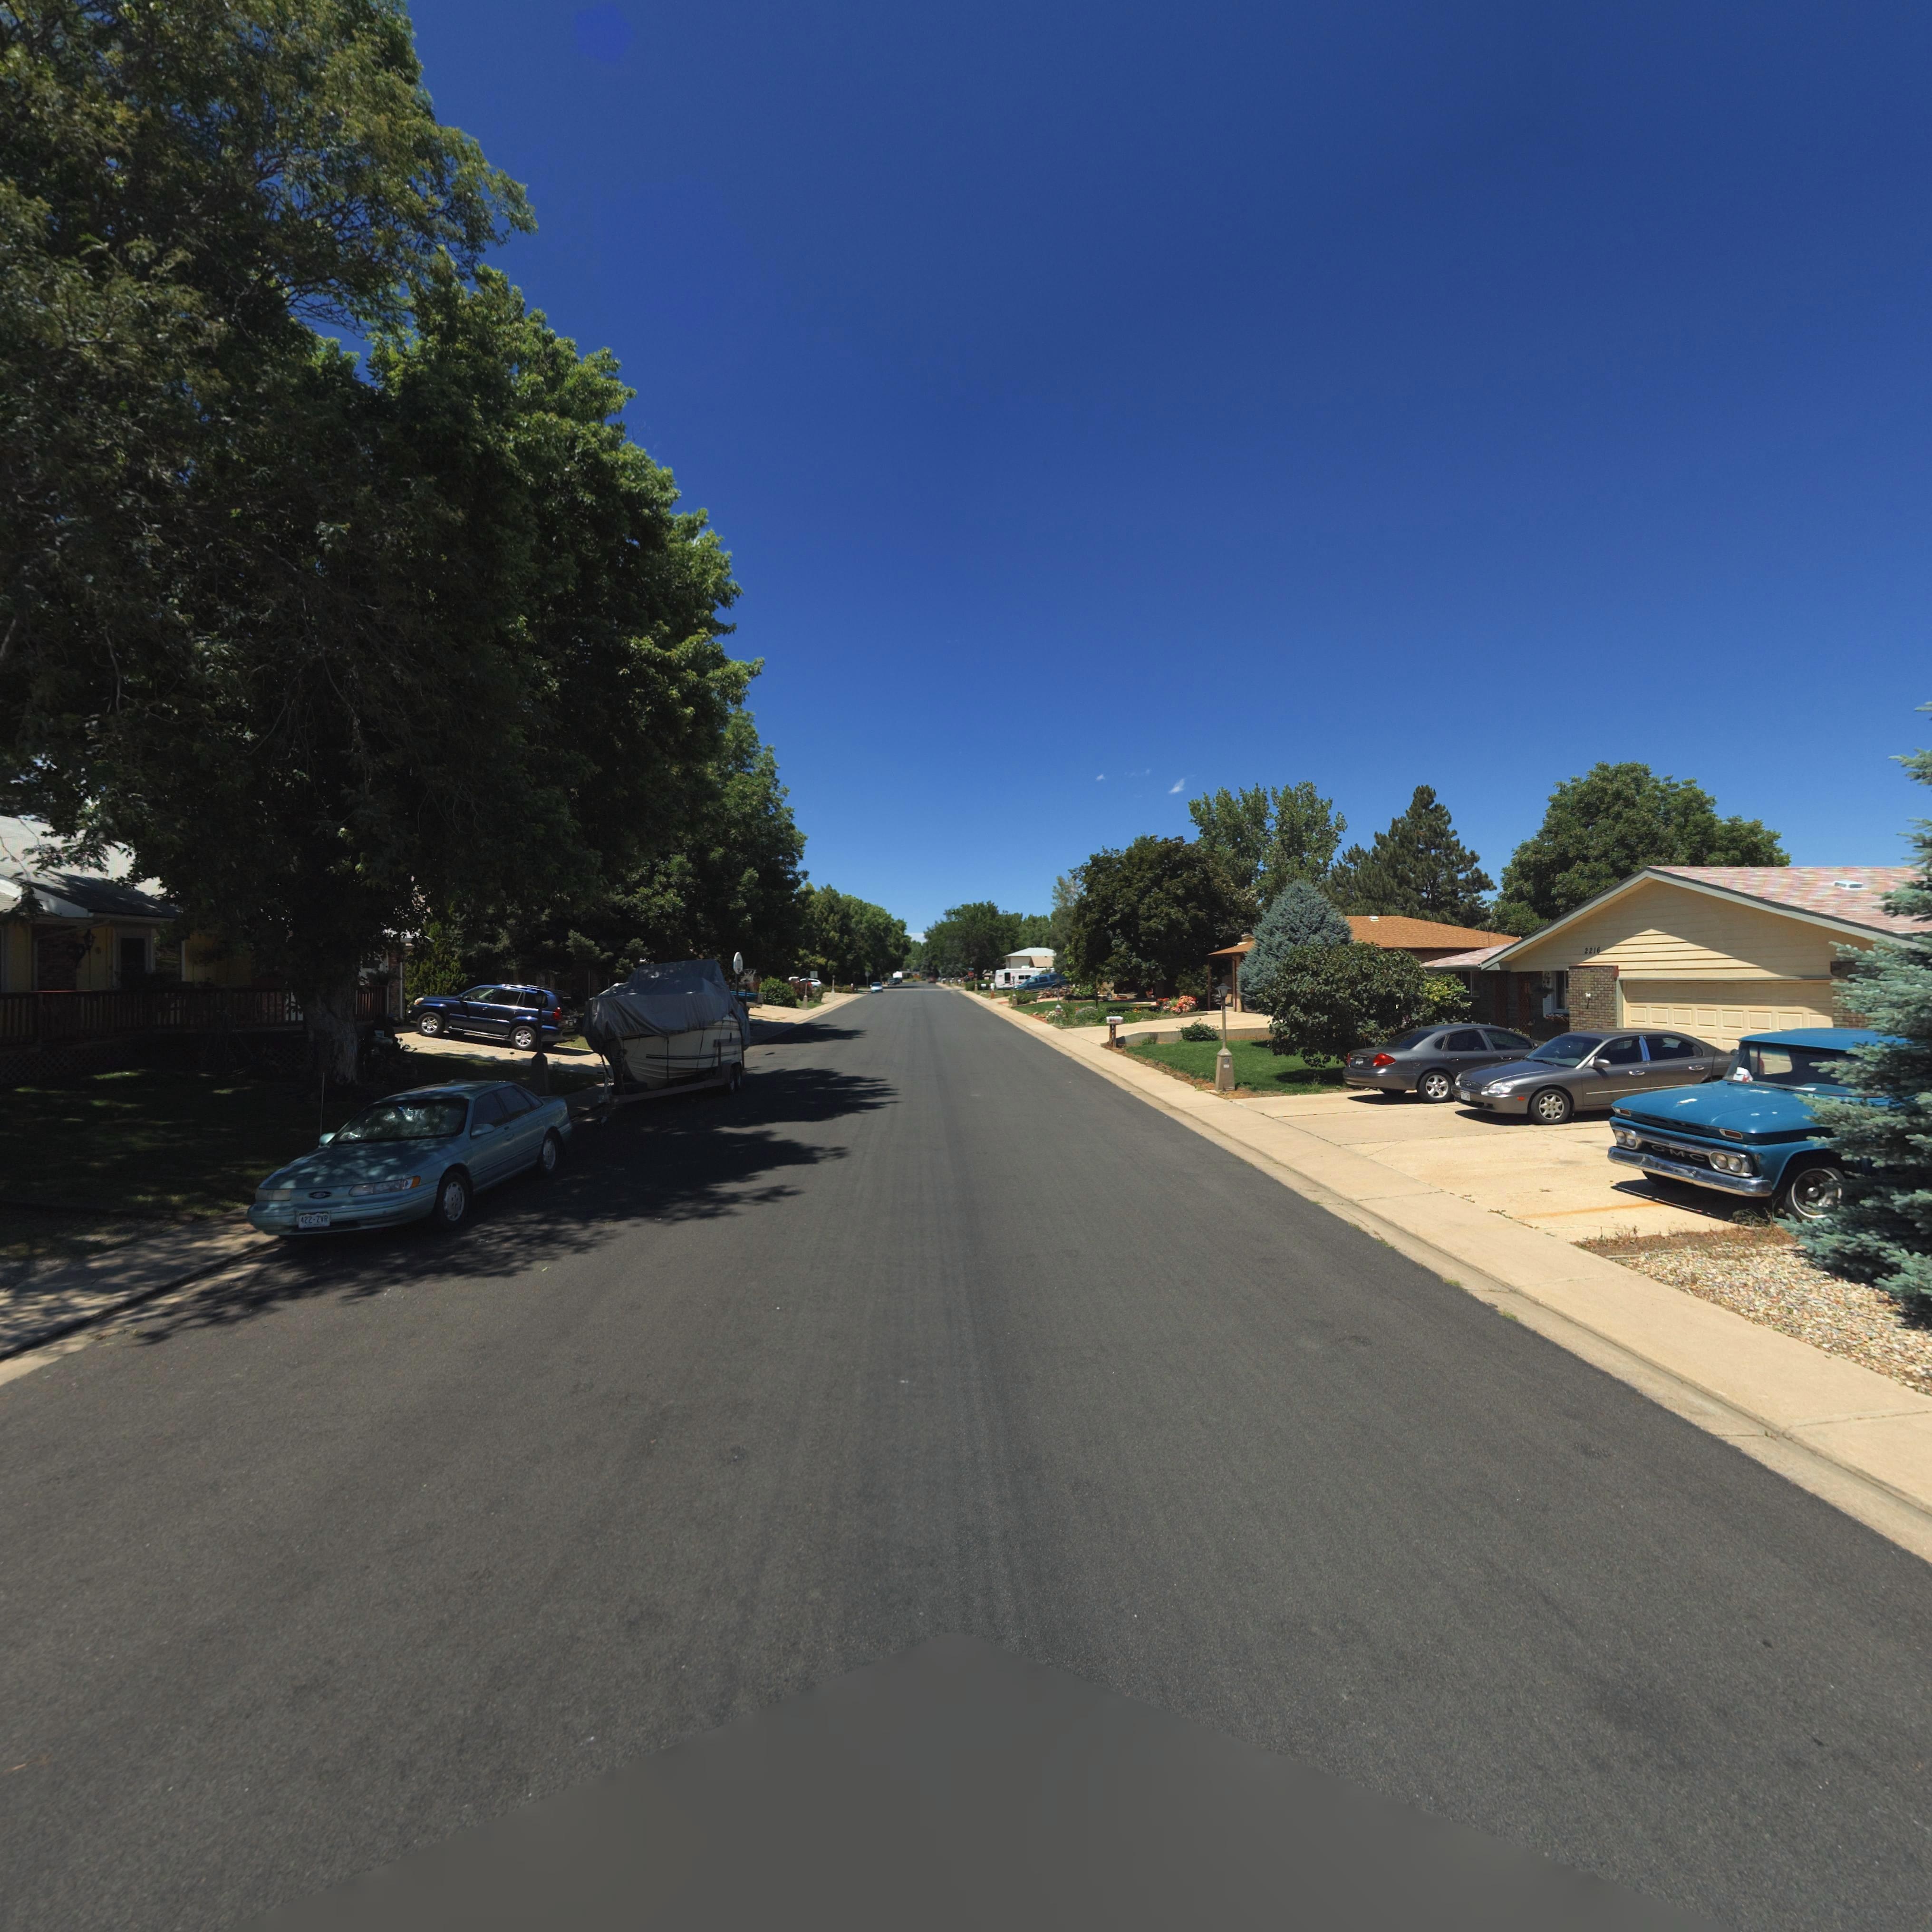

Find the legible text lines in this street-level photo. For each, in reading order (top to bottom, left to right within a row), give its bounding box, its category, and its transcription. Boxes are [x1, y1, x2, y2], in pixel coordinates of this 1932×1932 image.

[1584, 946, 1601, 954] StreetNumber: 2216